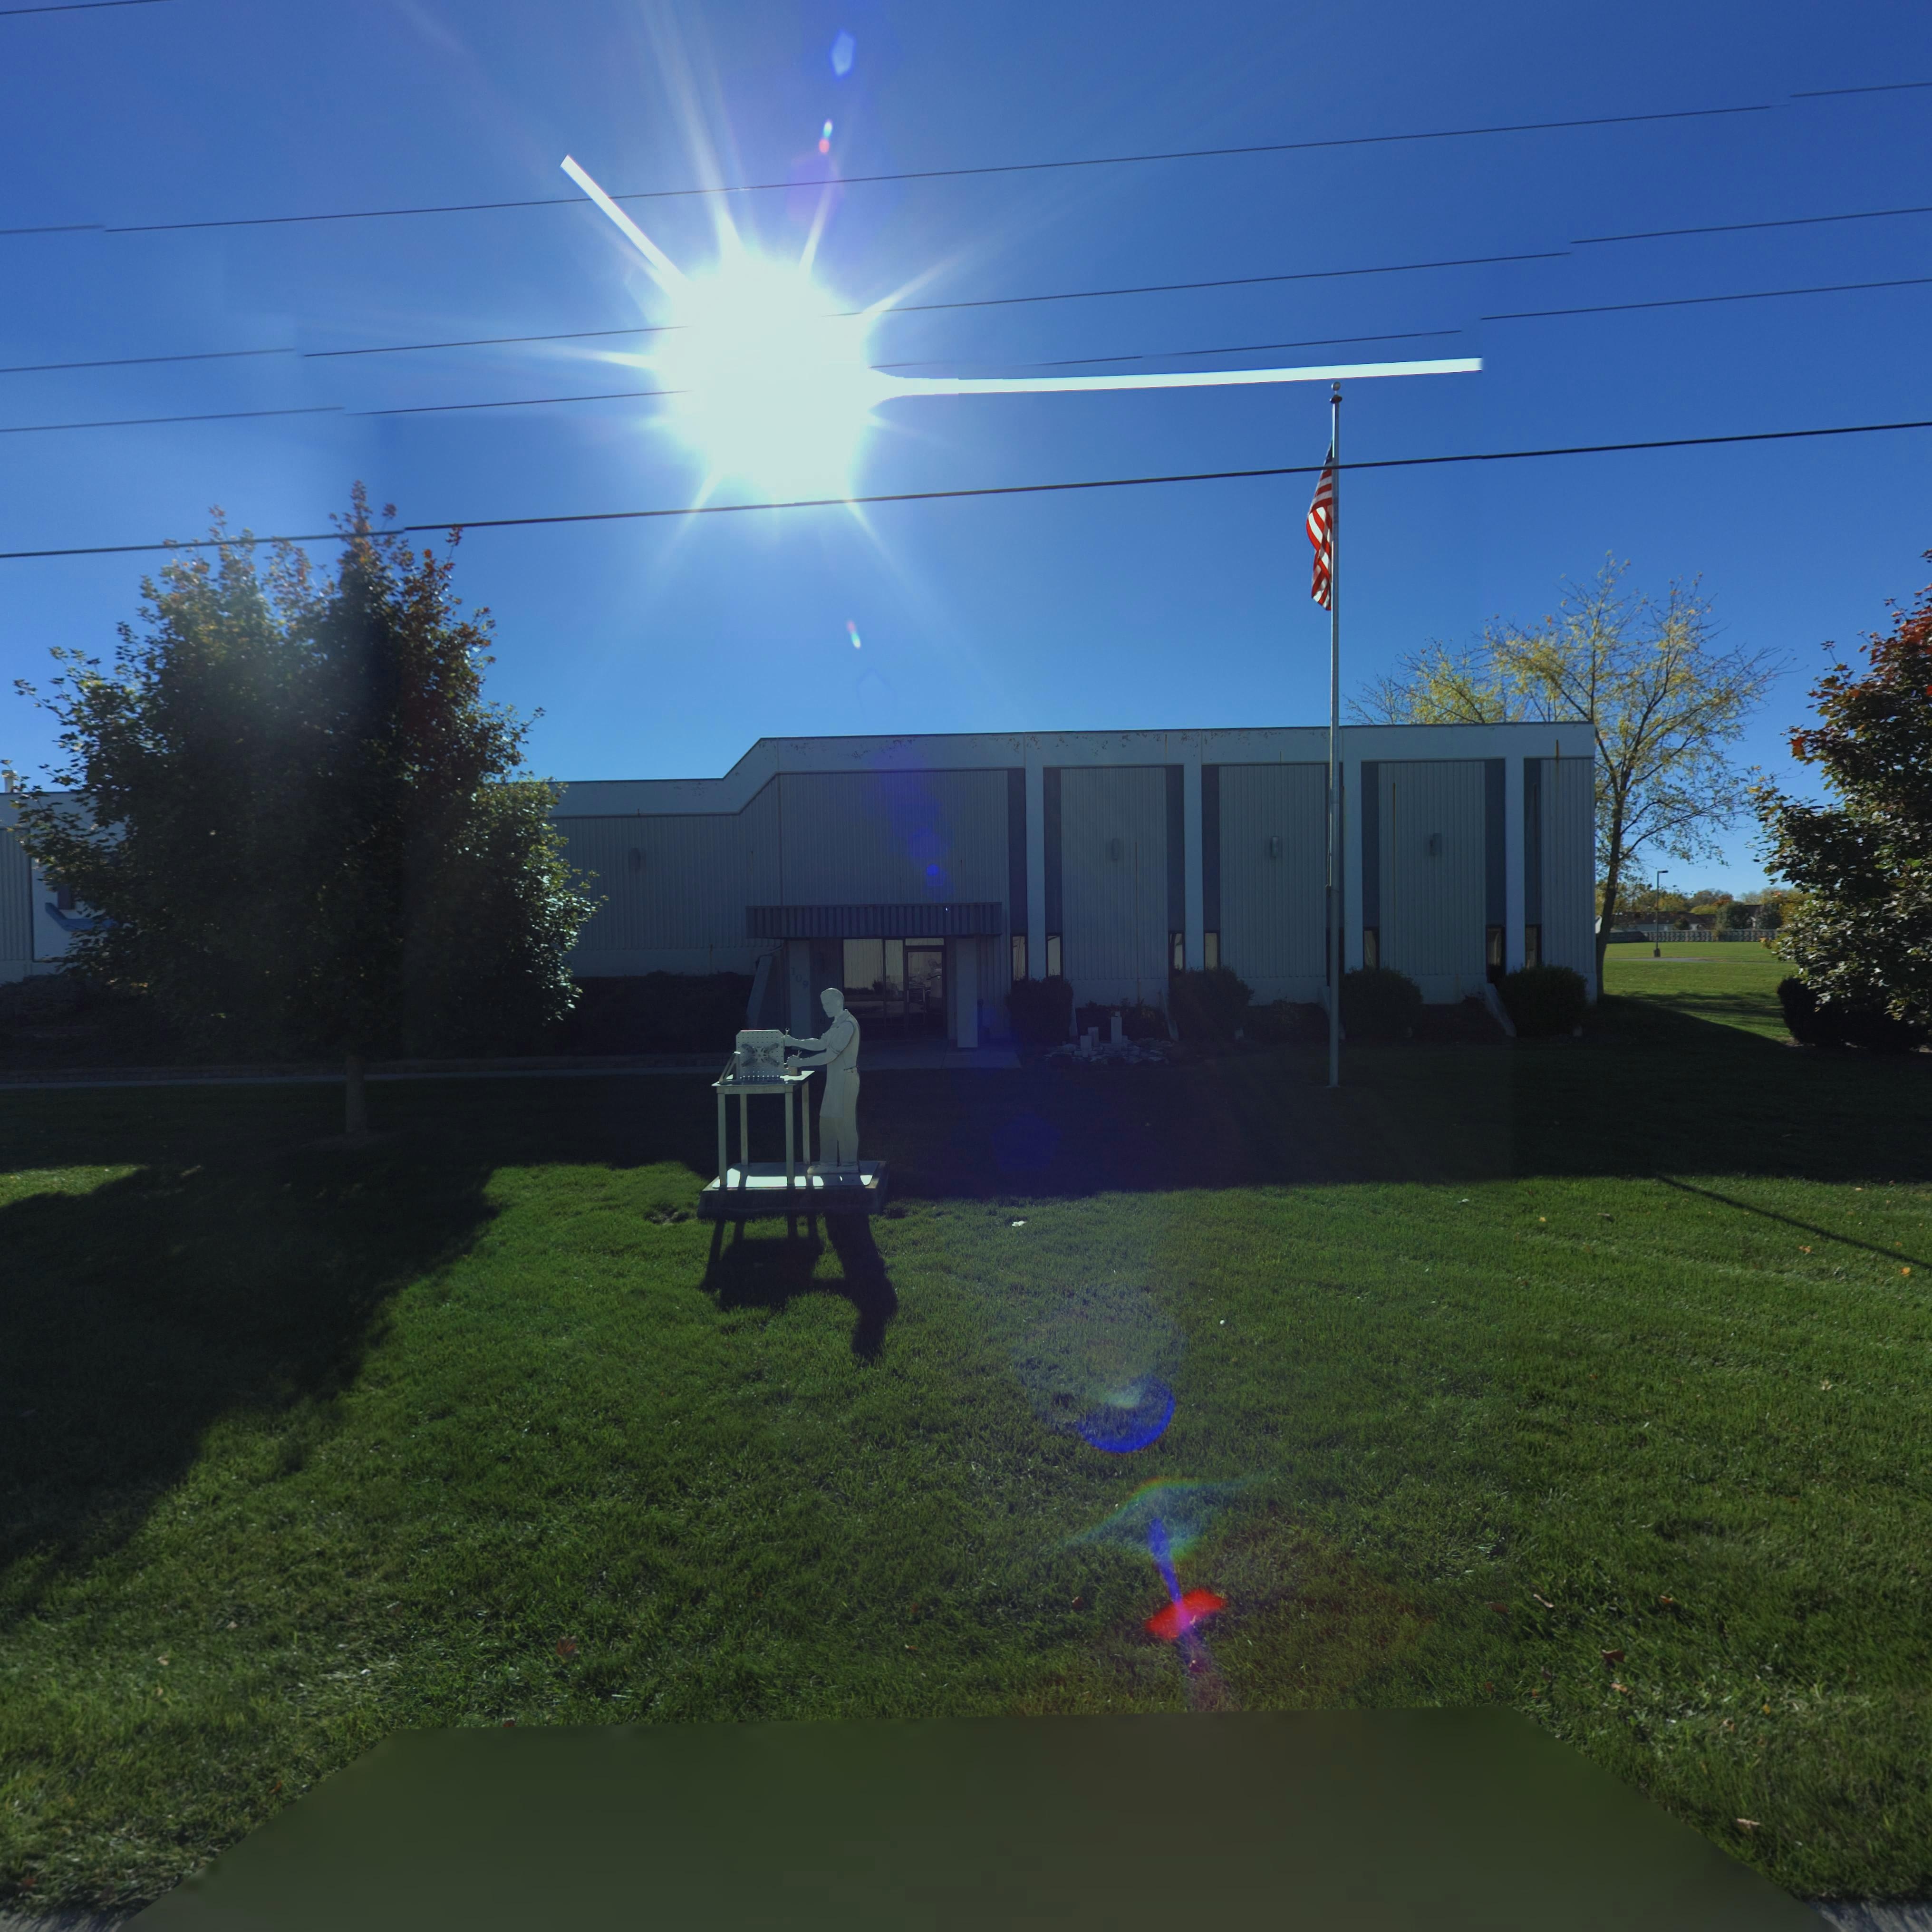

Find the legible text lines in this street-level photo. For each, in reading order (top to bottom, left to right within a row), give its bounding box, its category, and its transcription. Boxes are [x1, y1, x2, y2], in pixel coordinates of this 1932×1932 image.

[790, 966, 810, 990] StreetNumber: 109